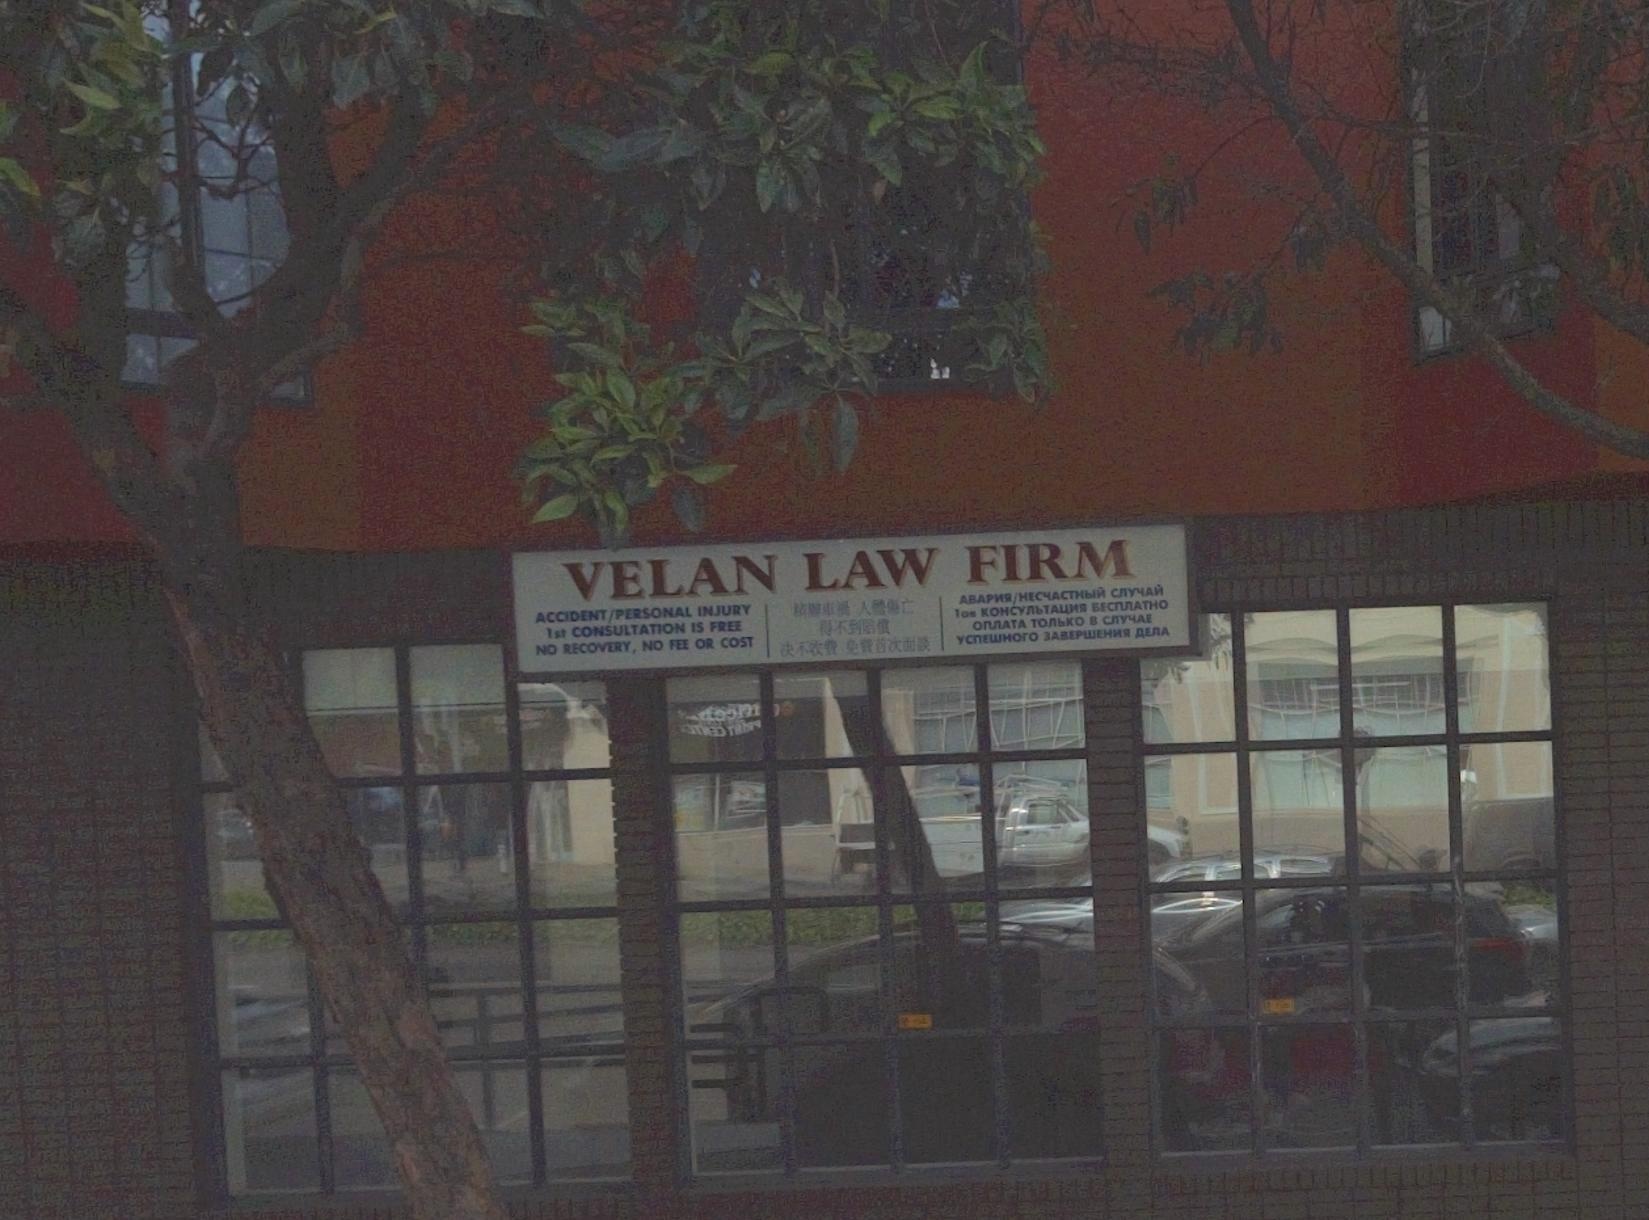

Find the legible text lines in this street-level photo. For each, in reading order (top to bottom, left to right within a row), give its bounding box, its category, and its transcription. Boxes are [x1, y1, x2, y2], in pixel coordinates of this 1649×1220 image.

[555, 536, 1135, 604] BusinessName: VELAN LAW FIRM
[954, 582, 1166, 606] None: ABAP**/HECC4ACTN*** C*Y*A*
[531, 600, 755, 627] None: ACCIDENT/PERESONAL INJURY
[541, 617, 745, 641] None: 1st CONSULTATION IS FREE
[532, 634, 757, 659] None: NO RECOVERY, NO FEE OR COST
[951, 597, 1170, 620] None: 1** KOHCY**TA*** BEC**ATHO
[969, 612, 1154, 632] None: O**ATA TO**KO B C*Y*AE
[951, 623, 1173, 646] None: YC*EWHO*O *ABEPWEH** *E*A